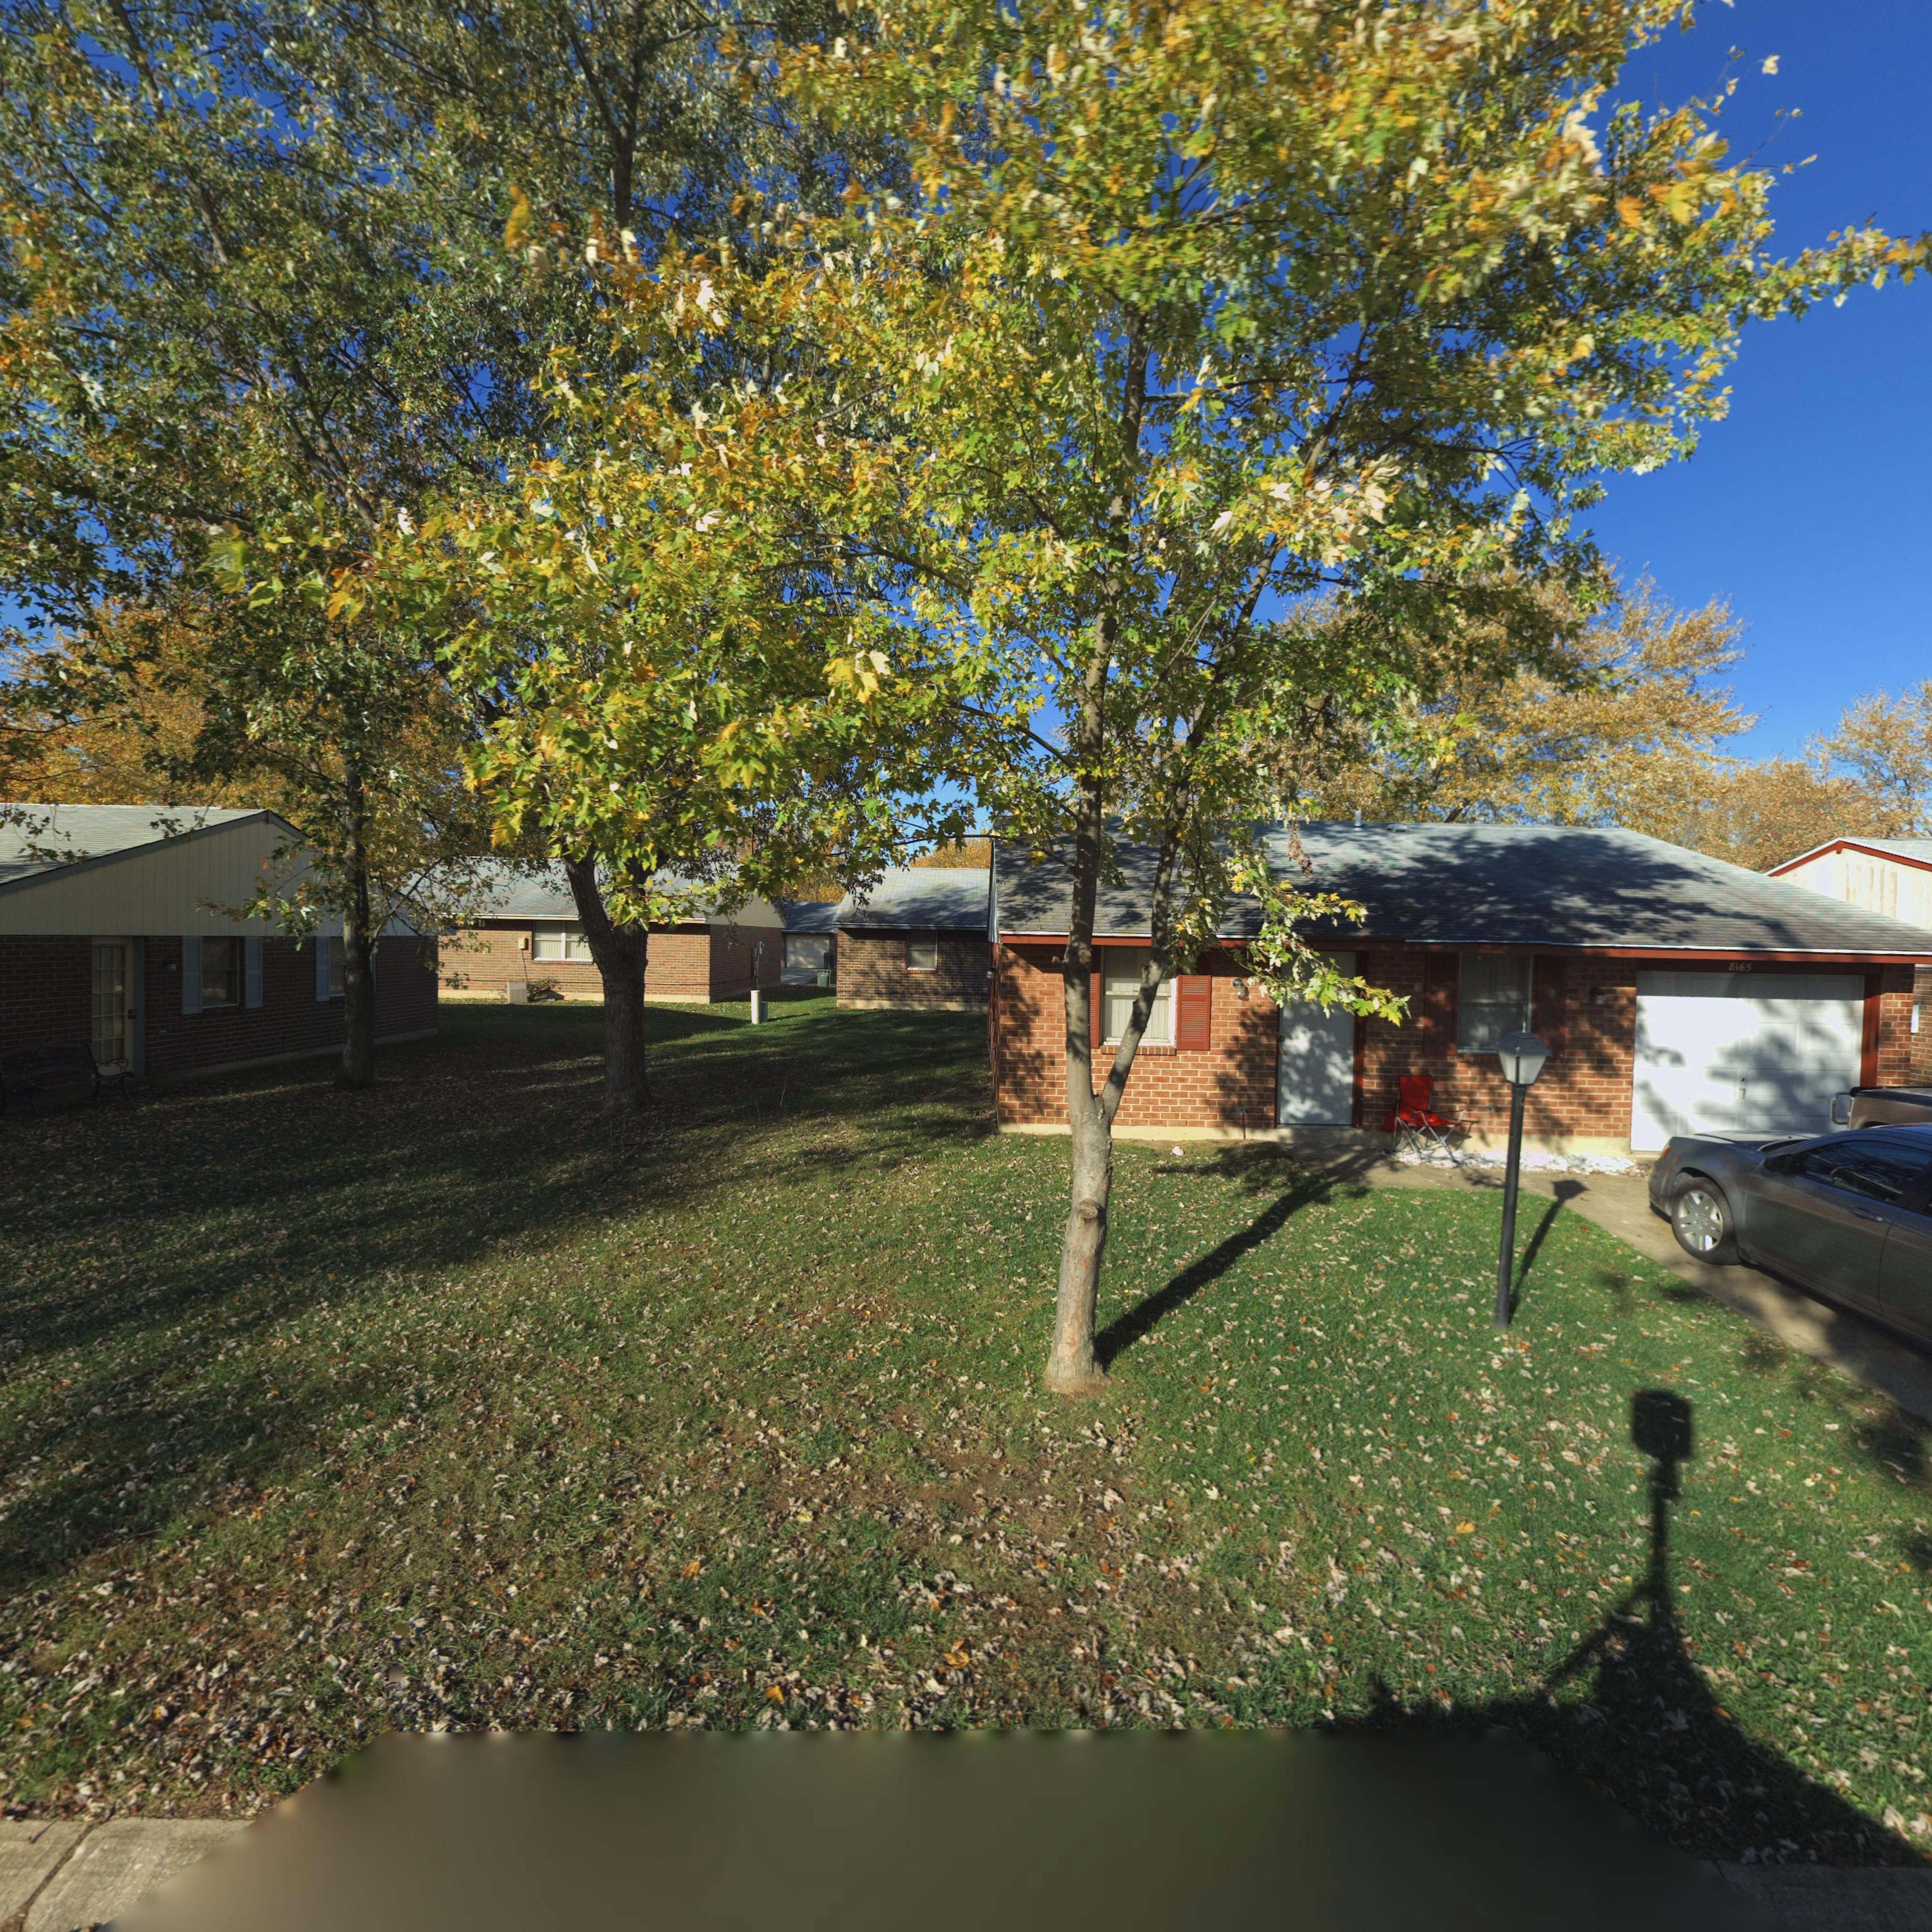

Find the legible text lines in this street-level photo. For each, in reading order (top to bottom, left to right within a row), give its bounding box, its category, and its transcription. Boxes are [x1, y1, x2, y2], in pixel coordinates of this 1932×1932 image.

[1727, 961, 1753, 973] StreetNumber: 8165